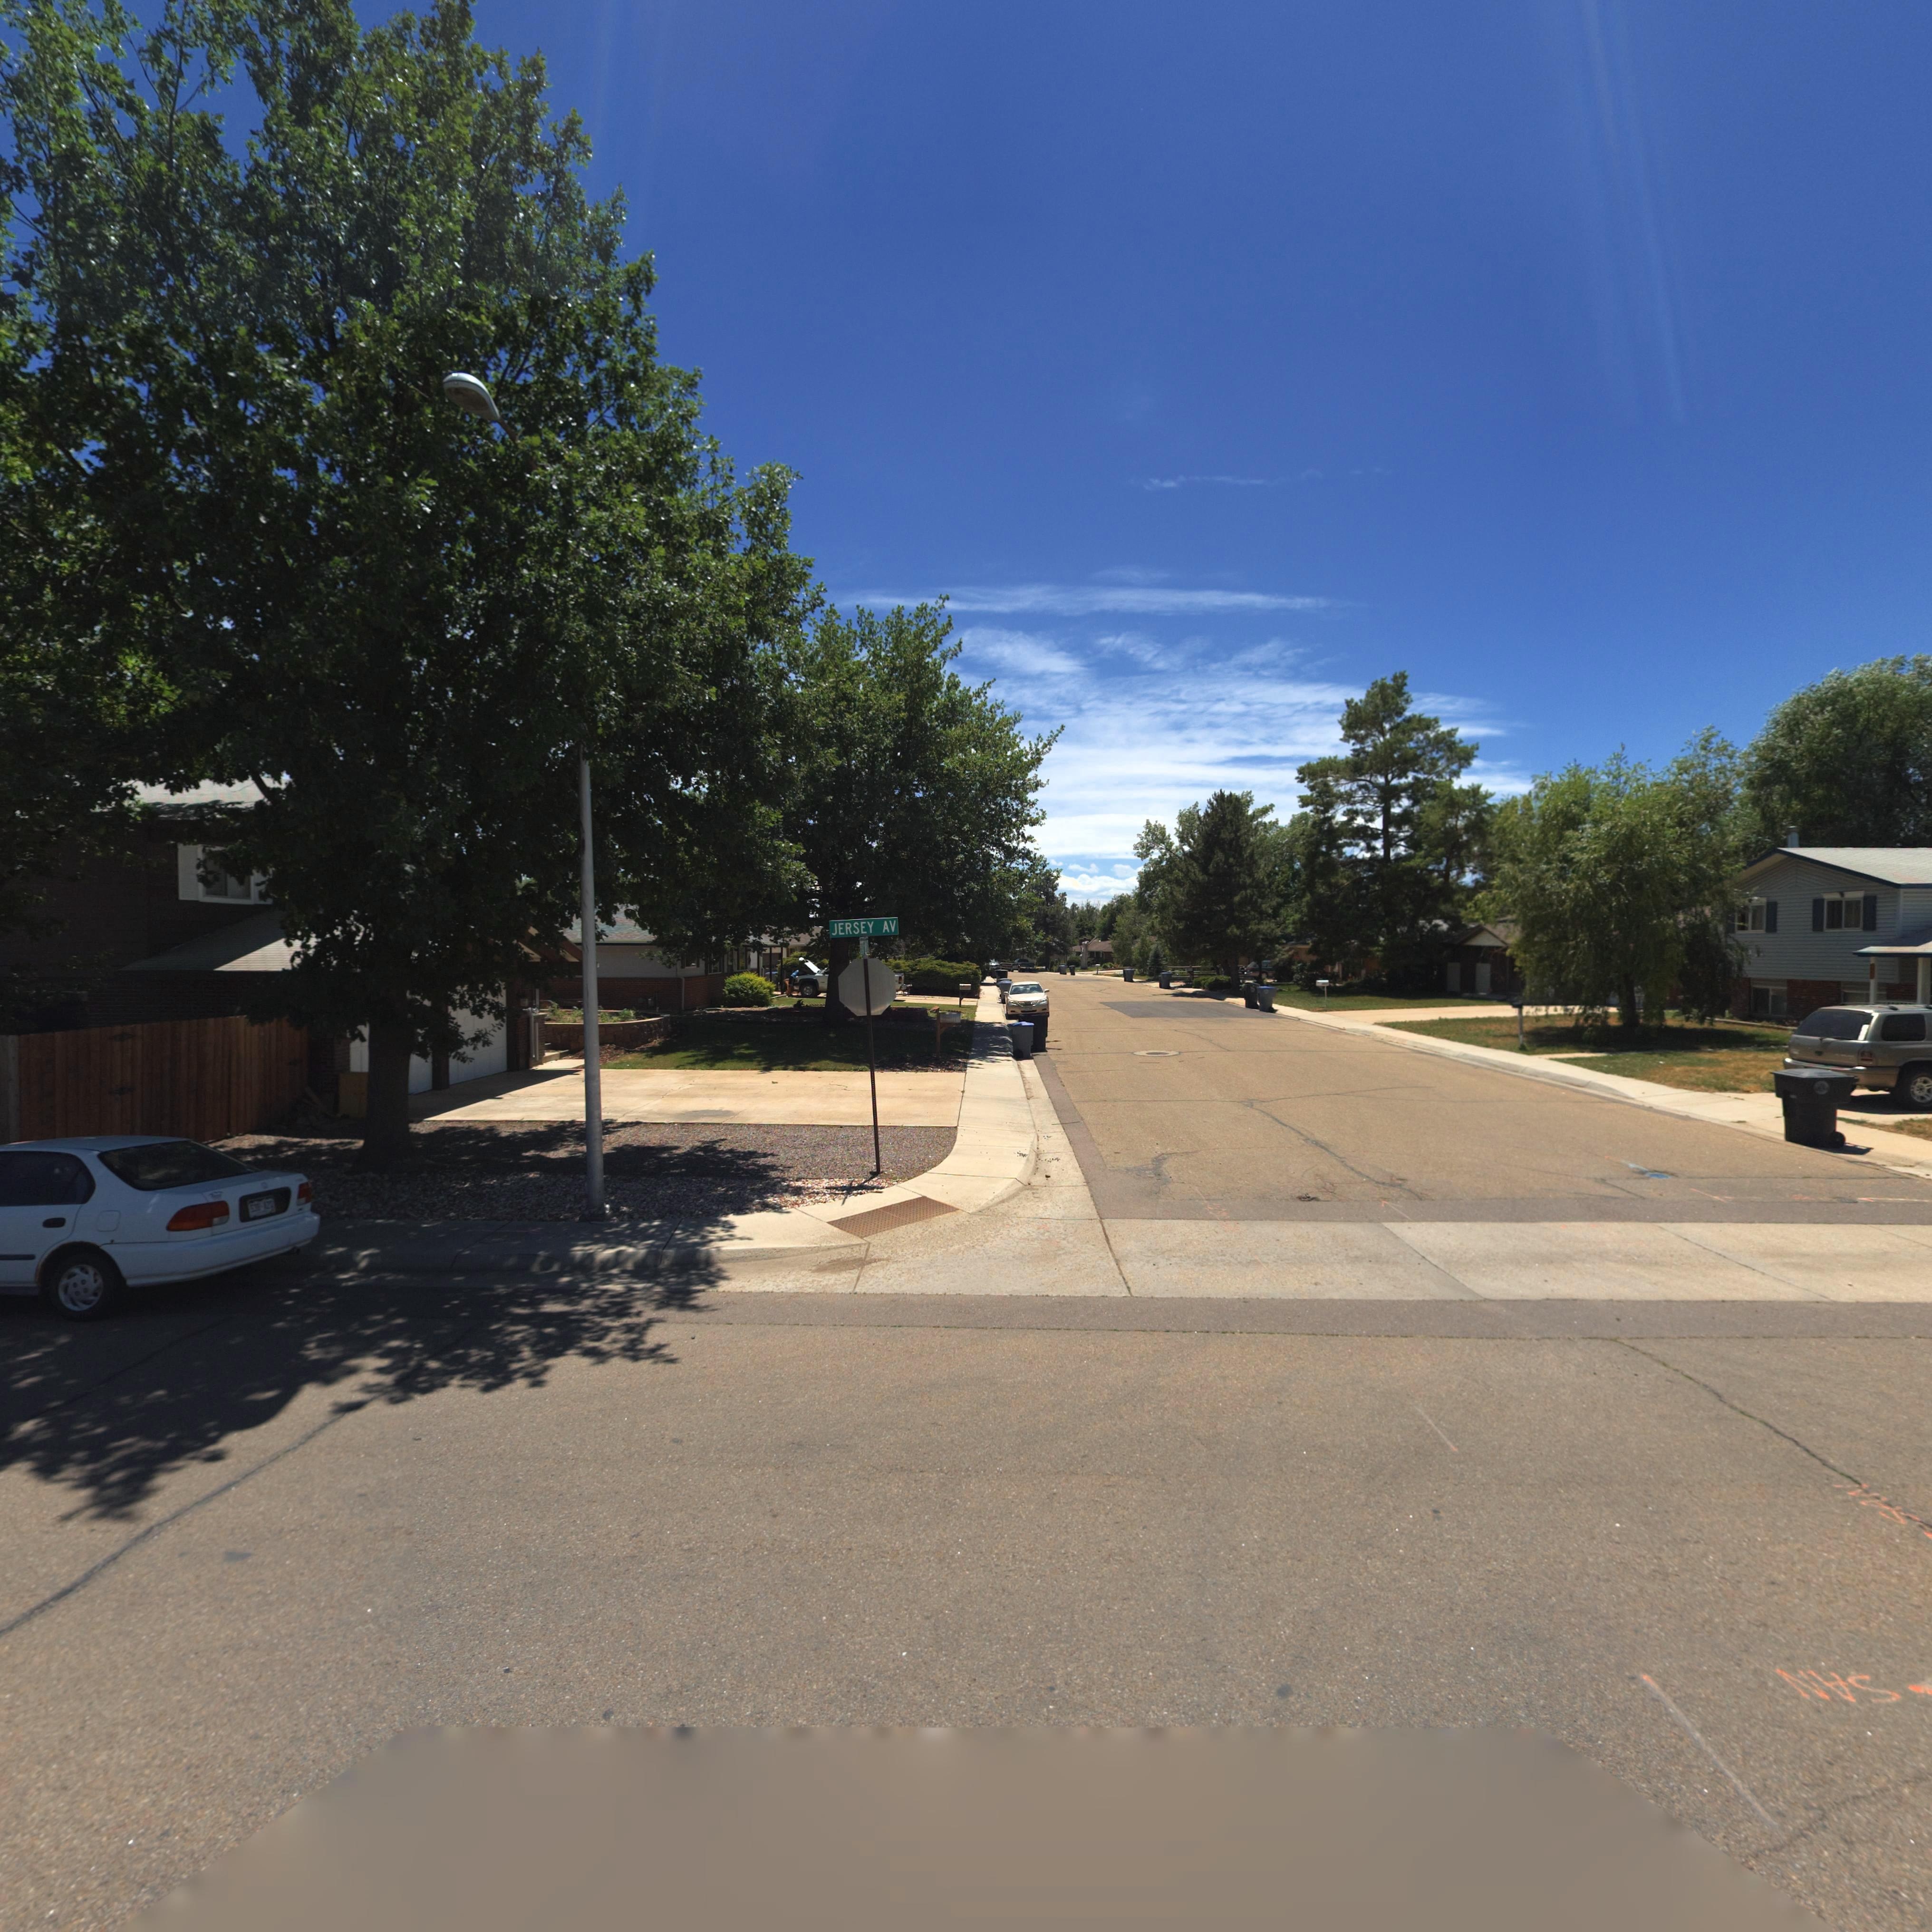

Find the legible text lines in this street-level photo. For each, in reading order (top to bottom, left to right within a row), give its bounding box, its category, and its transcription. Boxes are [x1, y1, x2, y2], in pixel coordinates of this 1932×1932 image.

[831, 919, 897, 936] StreetName: JERSEY AV